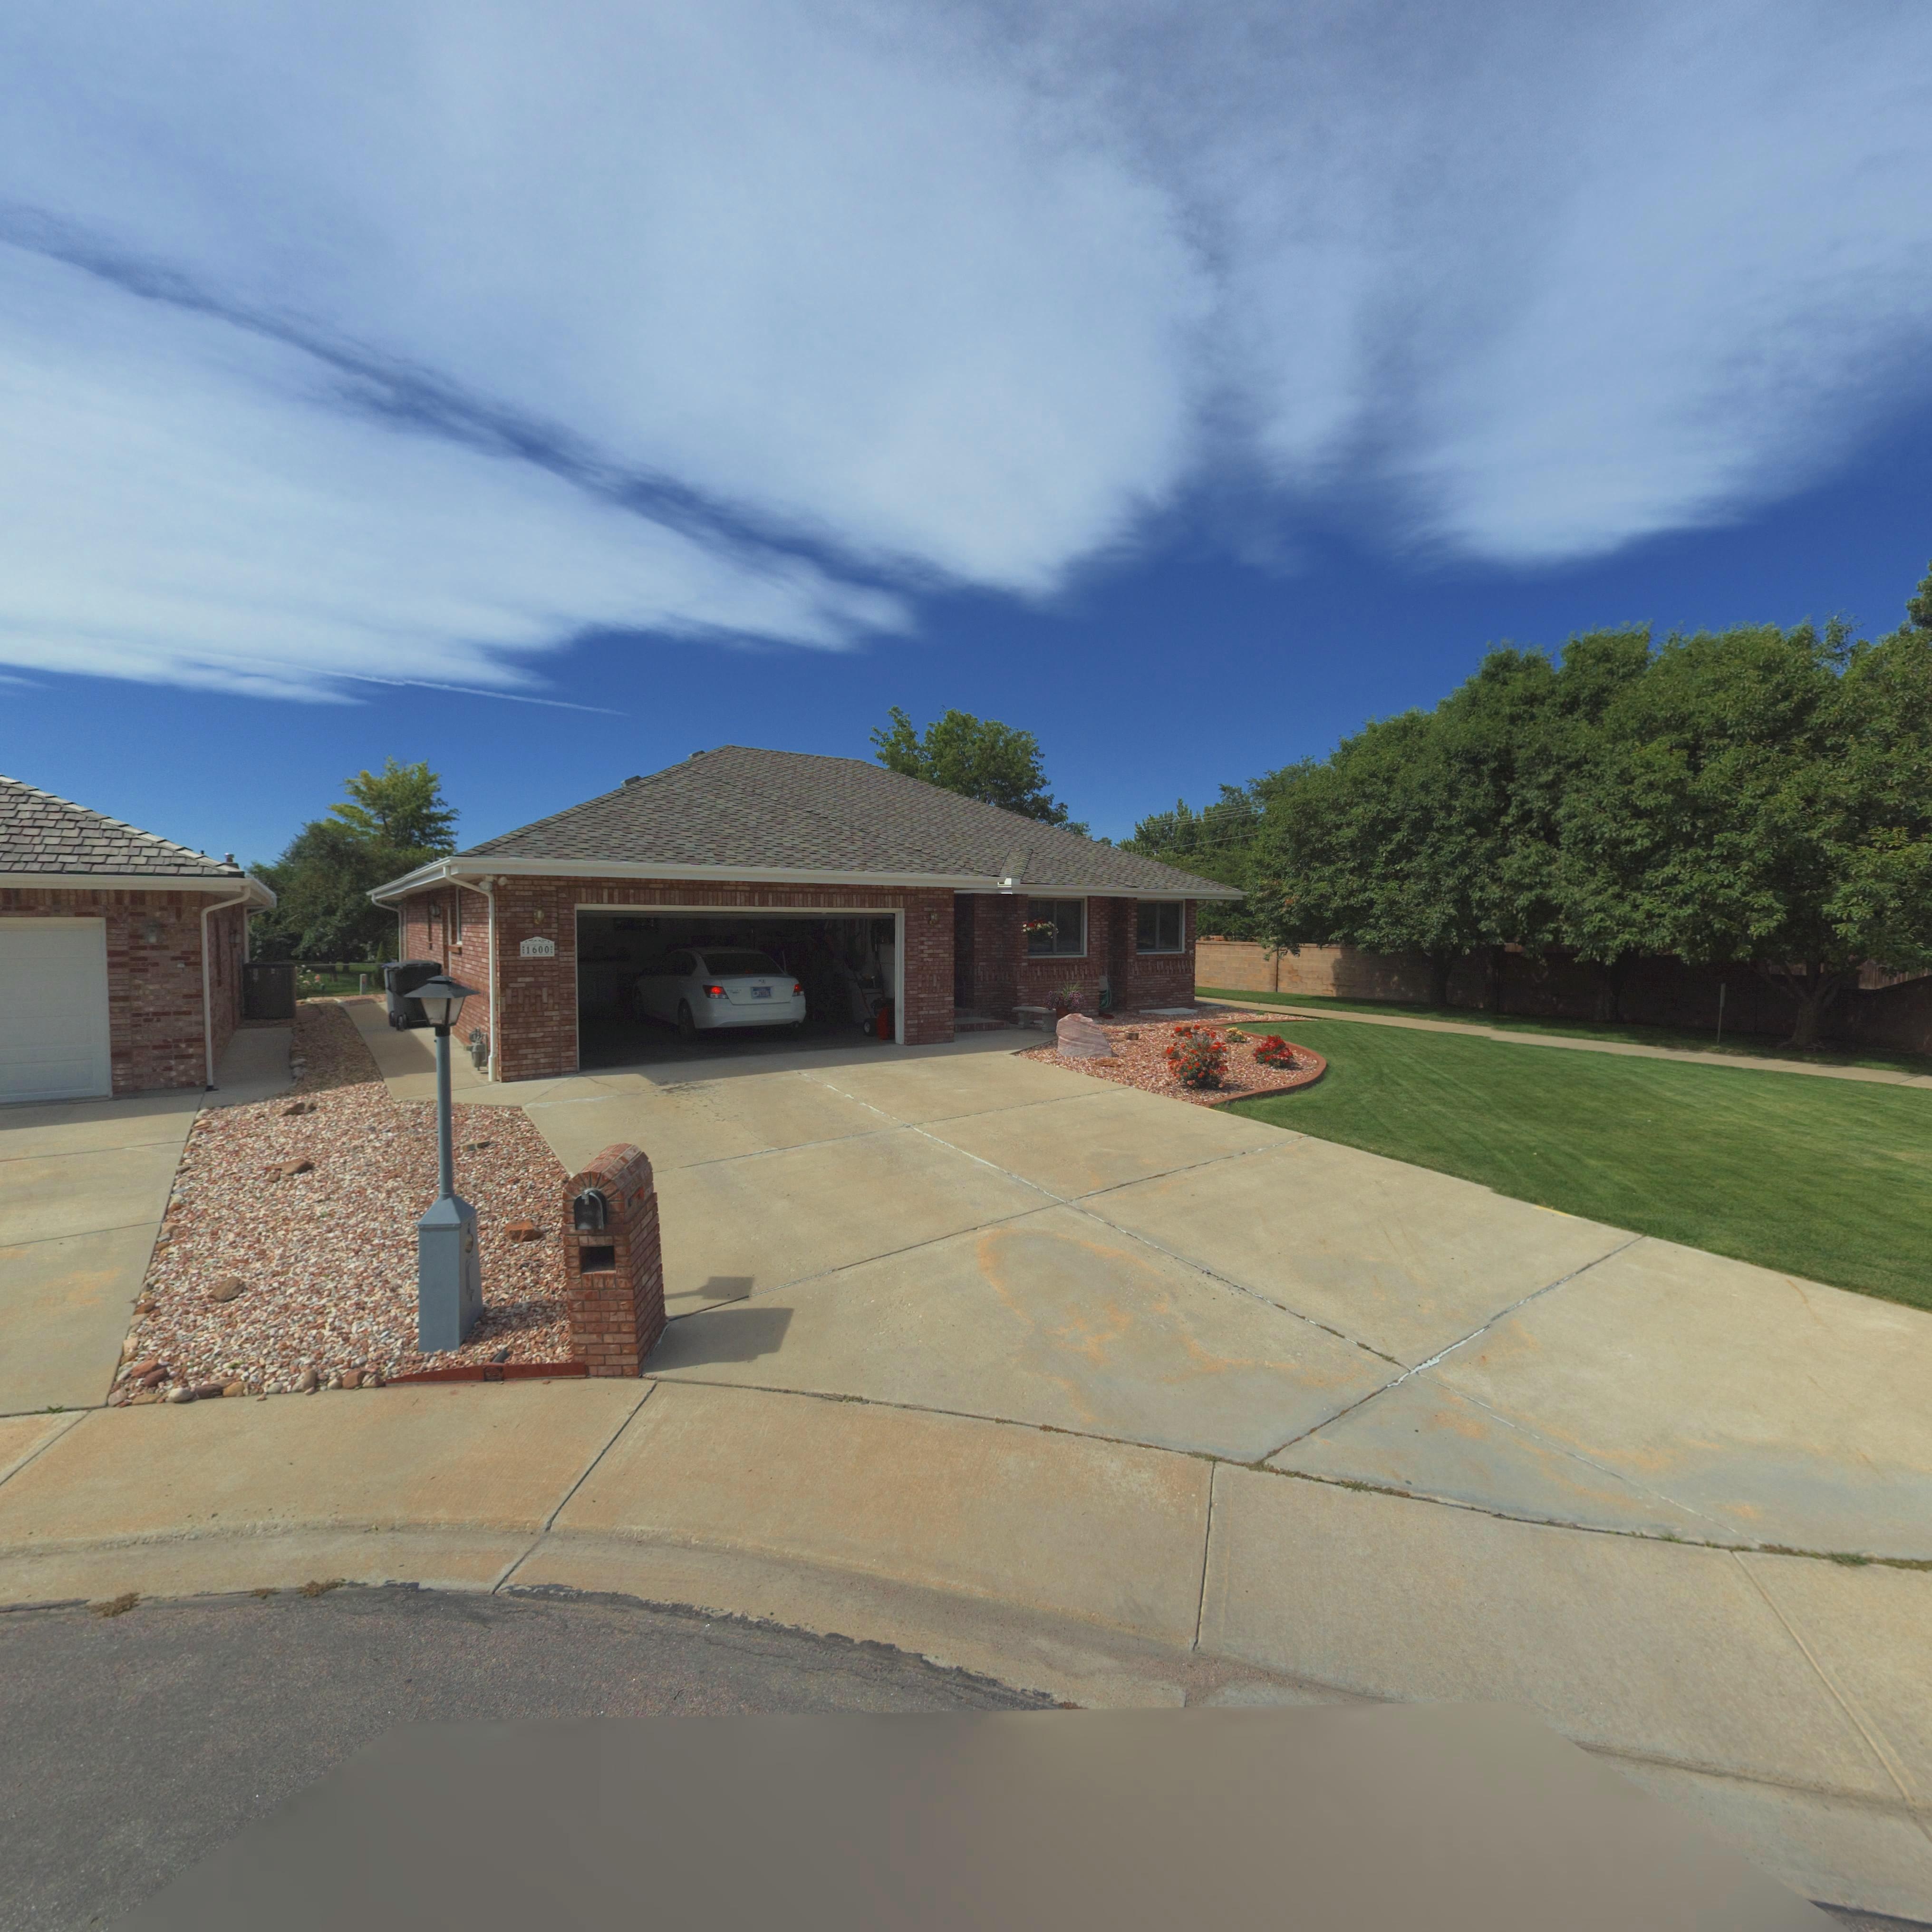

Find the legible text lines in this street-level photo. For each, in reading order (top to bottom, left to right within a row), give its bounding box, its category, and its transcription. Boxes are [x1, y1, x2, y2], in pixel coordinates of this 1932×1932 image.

[527, 946, 549, 954] StreetNumber: 1600